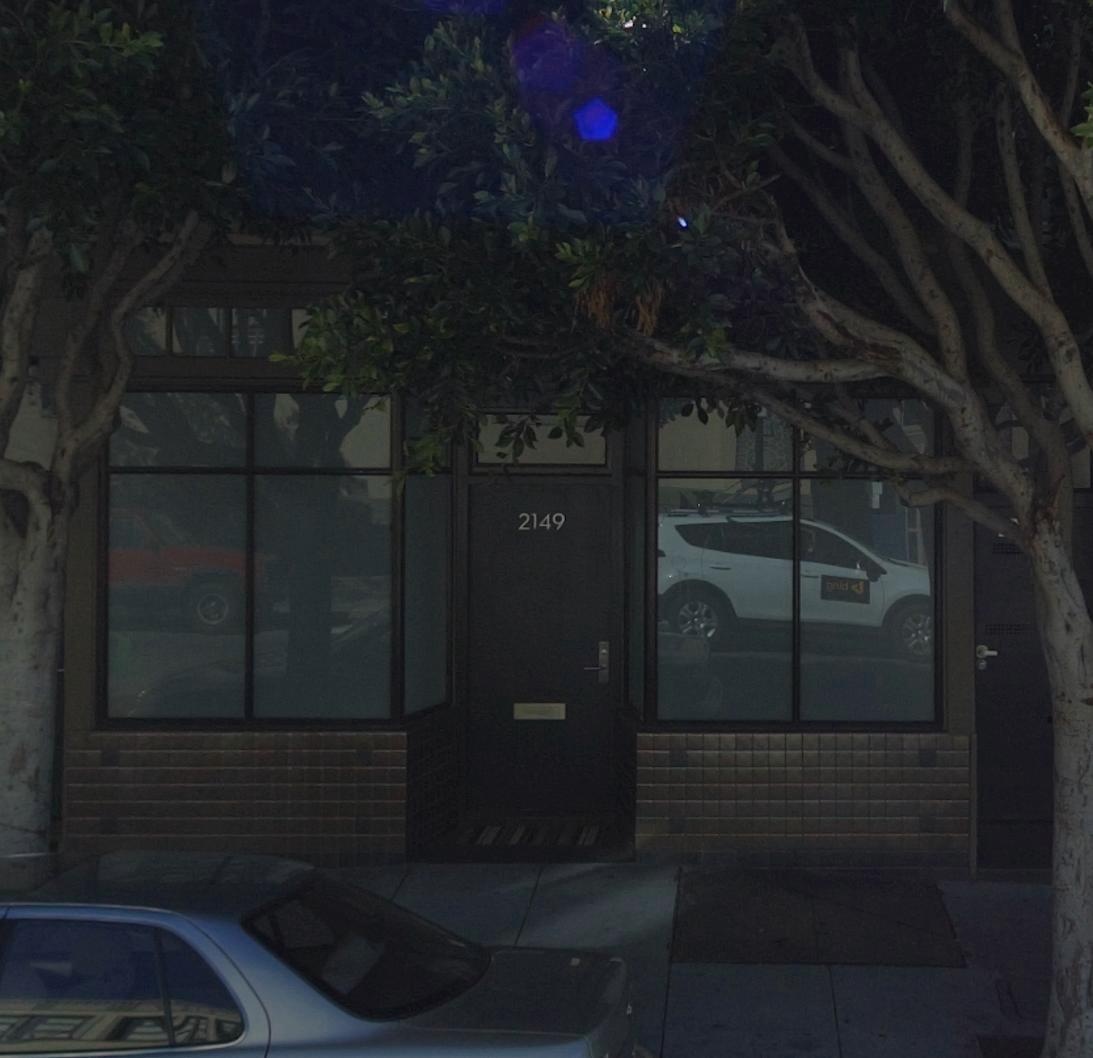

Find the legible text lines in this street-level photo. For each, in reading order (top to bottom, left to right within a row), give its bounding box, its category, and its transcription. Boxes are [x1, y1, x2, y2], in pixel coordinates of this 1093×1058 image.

[517, 511, 567, 532] StreetNumber: 2149